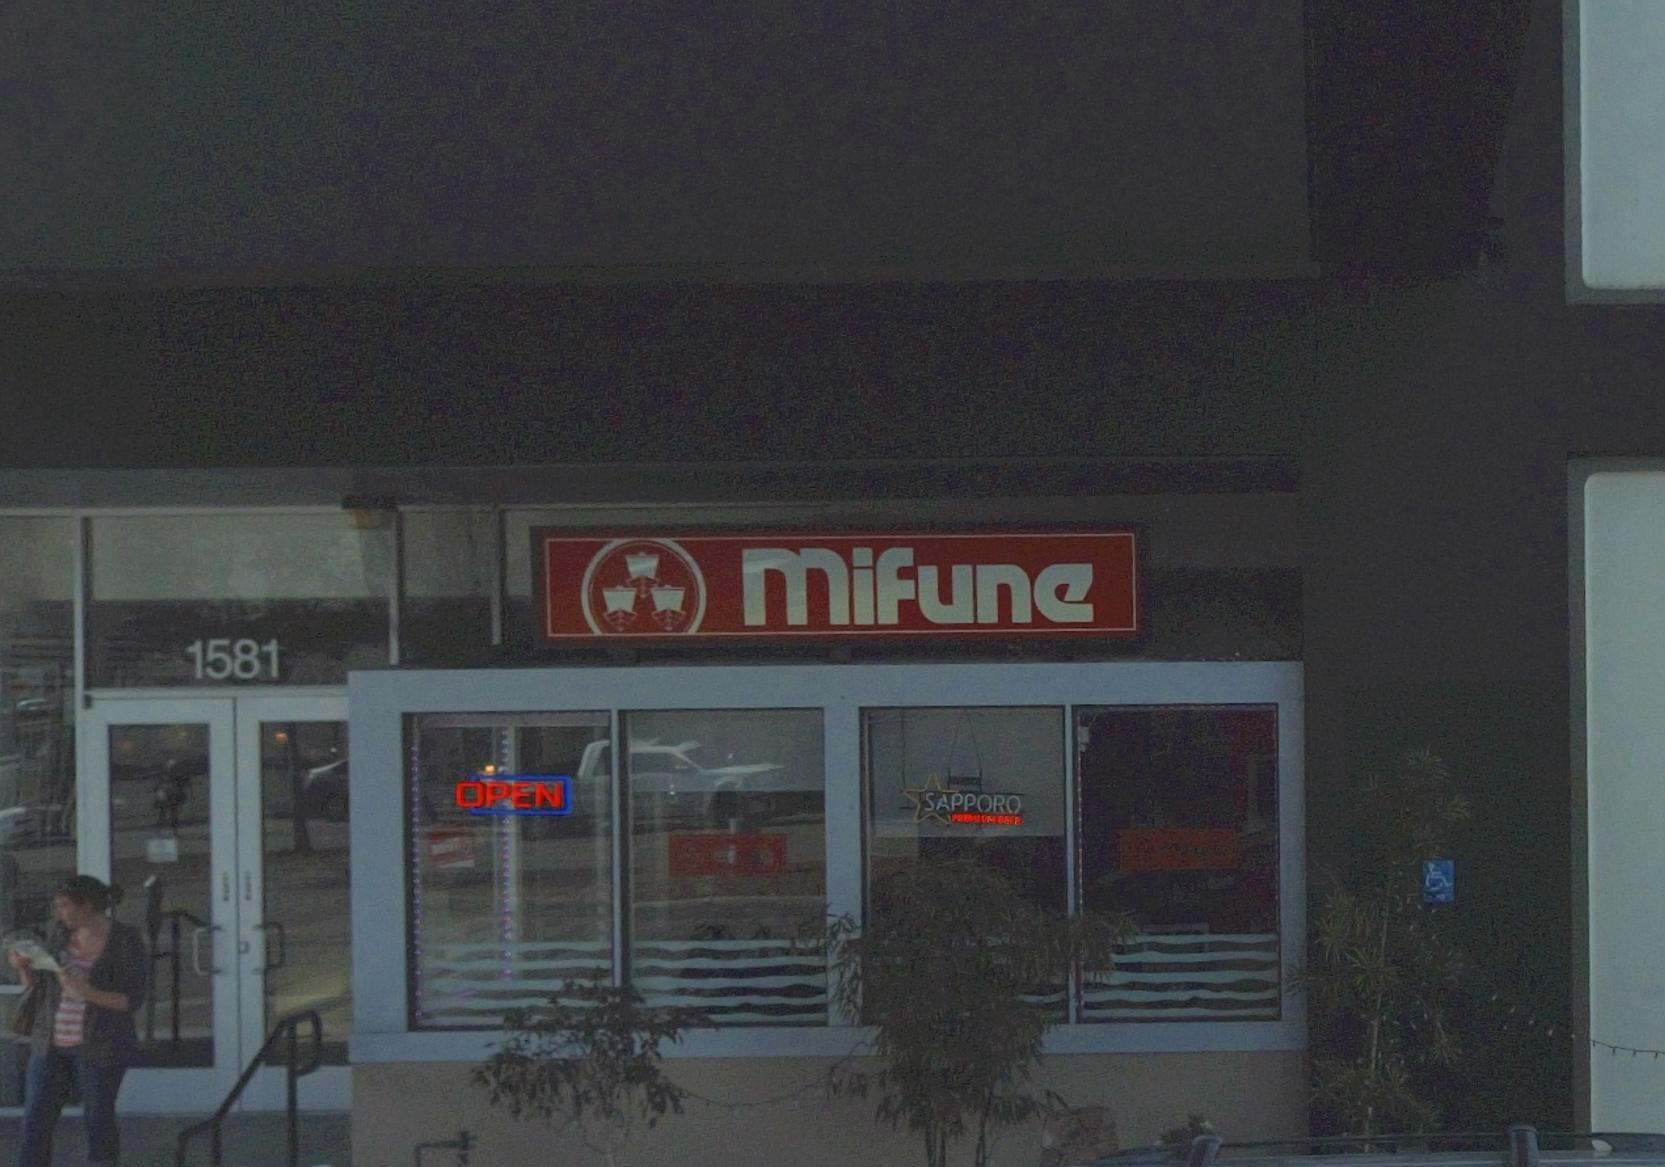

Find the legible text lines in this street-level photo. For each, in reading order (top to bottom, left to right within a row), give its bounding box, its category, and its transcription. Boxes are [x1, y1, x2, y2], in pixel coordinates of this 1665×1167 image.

[740, 544, 1097, 628] BusinessName: MiFune
[179, 634, 282, 682] StreetNumber: 1581
[451, 779, 565, 811] None: OPEN
[922, 790, 1022, 817] None: SAPPORO